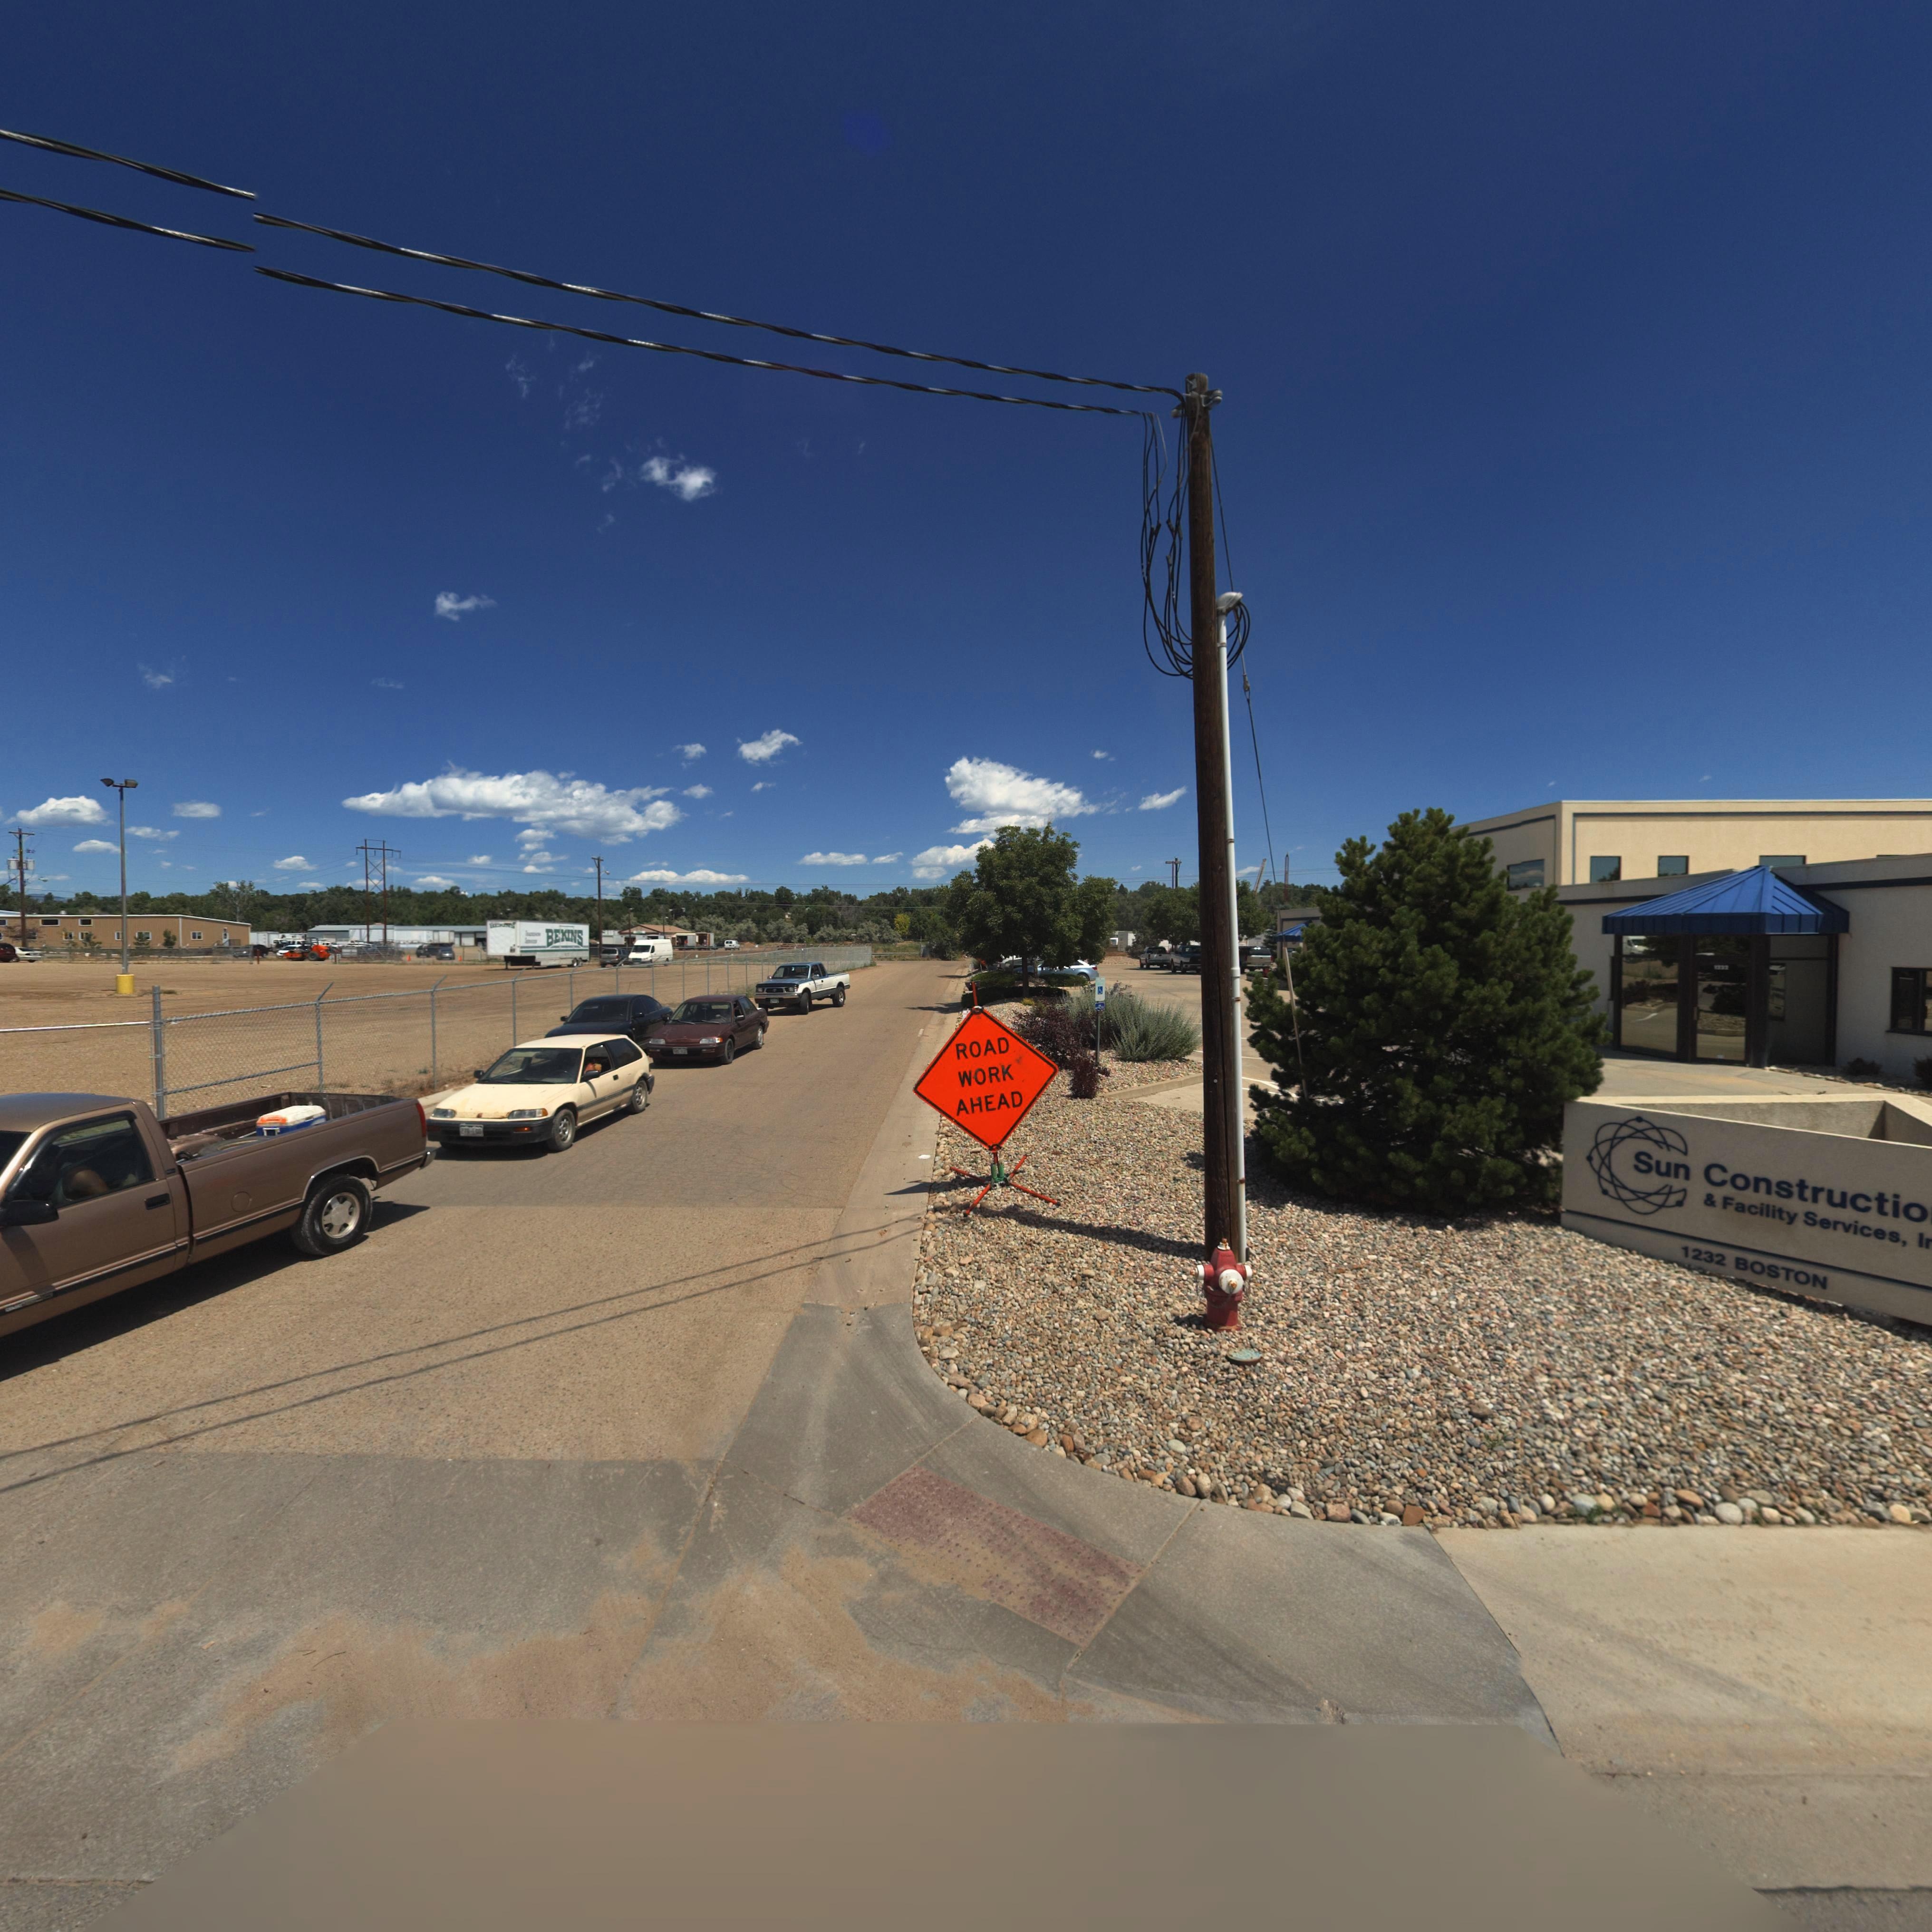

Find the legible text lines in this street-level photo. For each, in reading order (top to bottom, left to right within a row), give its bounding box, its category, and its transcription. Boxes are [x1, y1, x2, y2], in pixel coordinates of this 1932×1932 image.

[1713, 964, 1729, 970] StreetNumber: 12**
[1633, 1150, 1928, 1224] BusinessName: Sun Constructio
[1702, 1189, 1926, 1250] StreetName: & Facility Services, I
[1680, 1246, 1728, 1267] StreetNumber: 1232
[1734, 1255, 1828, 1291] StreetName: BOSTON